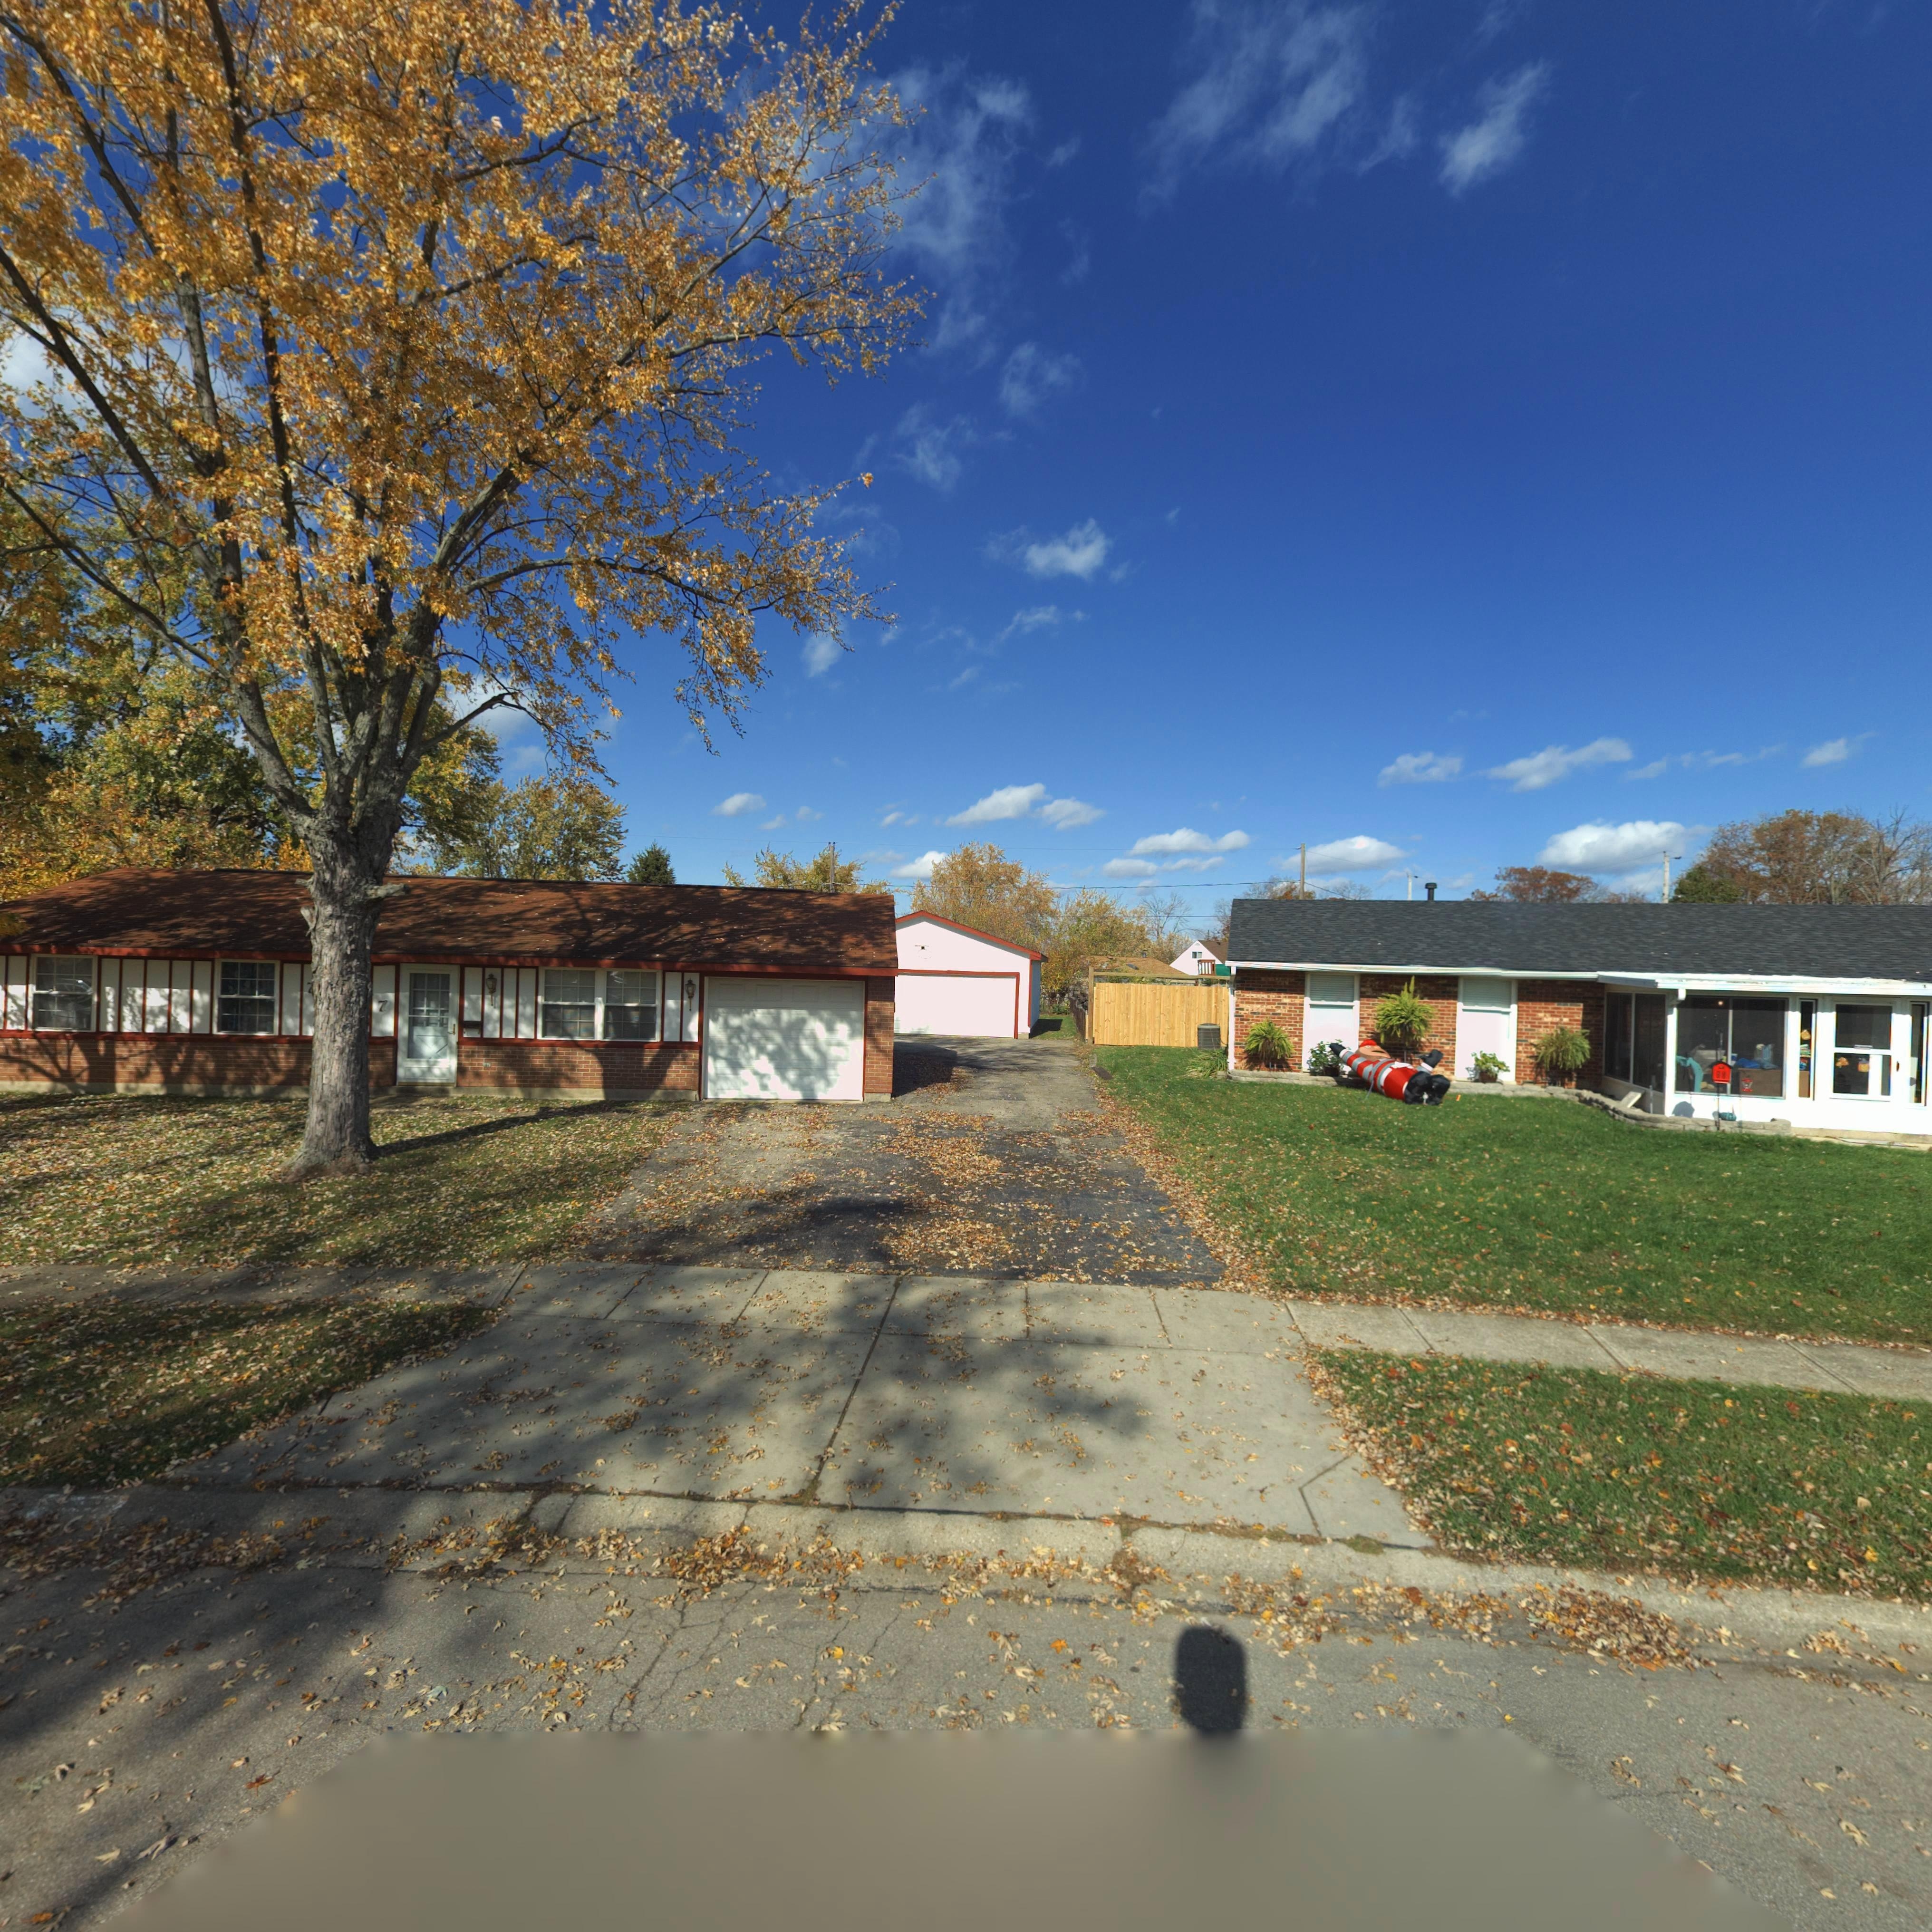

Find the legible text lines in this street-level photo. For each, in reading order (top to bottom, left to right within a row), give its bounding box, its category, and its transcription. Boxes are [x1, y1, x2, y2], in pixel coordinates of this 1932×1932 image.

[306, 982, 314, 994] StreetNumber: 7
[377, 1000, 388, 1012] StreetNumber: 7